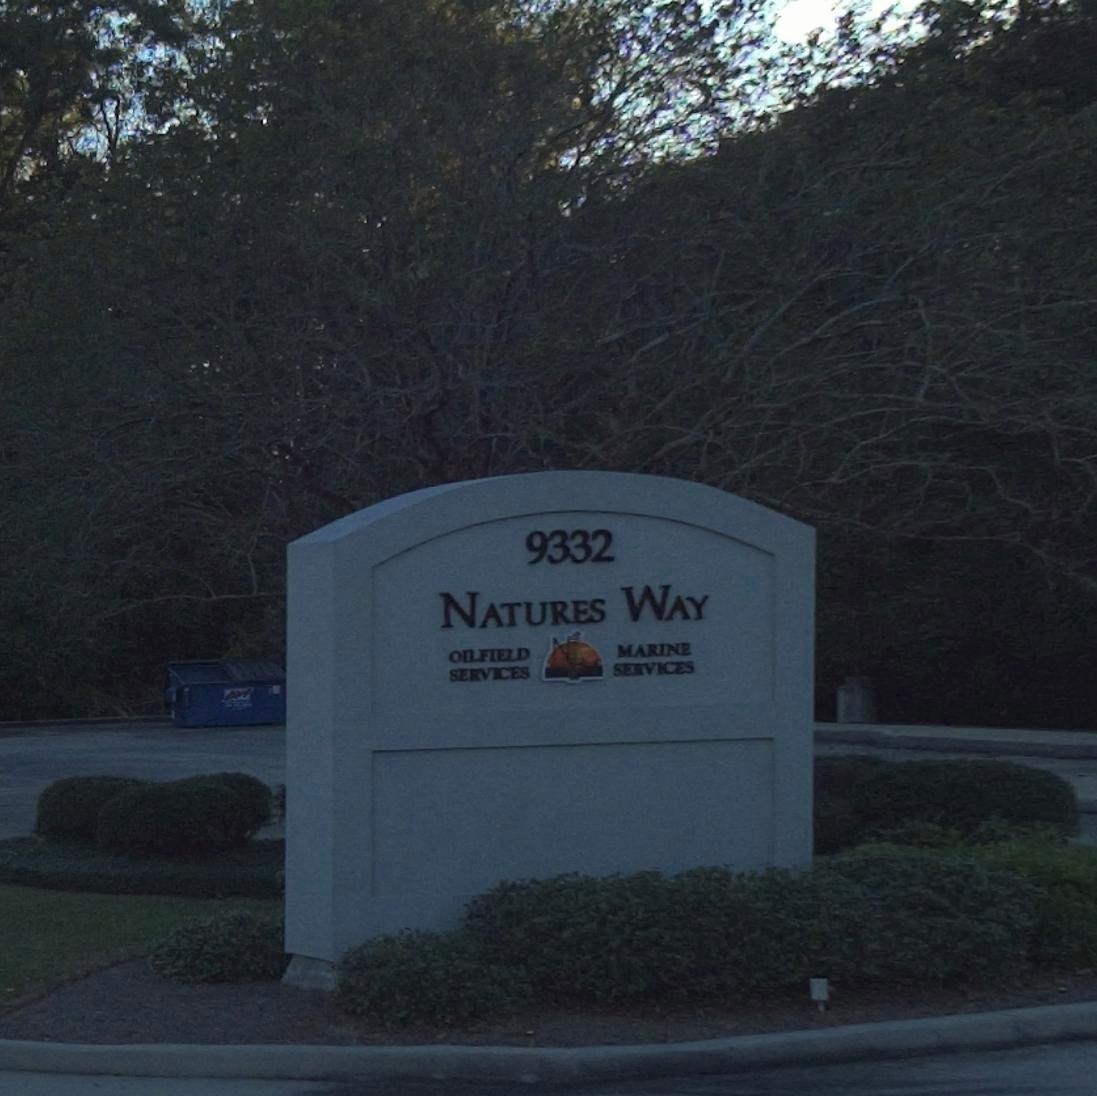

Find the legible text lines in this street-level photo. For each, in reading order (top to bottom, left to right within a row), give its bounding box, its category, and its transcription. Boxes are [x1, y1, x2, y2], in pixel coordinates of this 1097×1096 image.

[523, 527, 617, 567] StreetNumber: 9332
[437, 583, 712, 630] BusinessName: NATURES WAY
[448, 646, 532, 665] None: OILFIELD
[615, 642, 694, 658] None: MARINE
[448, 665, 532, 683] None: SERVICES
[610, 660, 696, 676] None: SERVICES